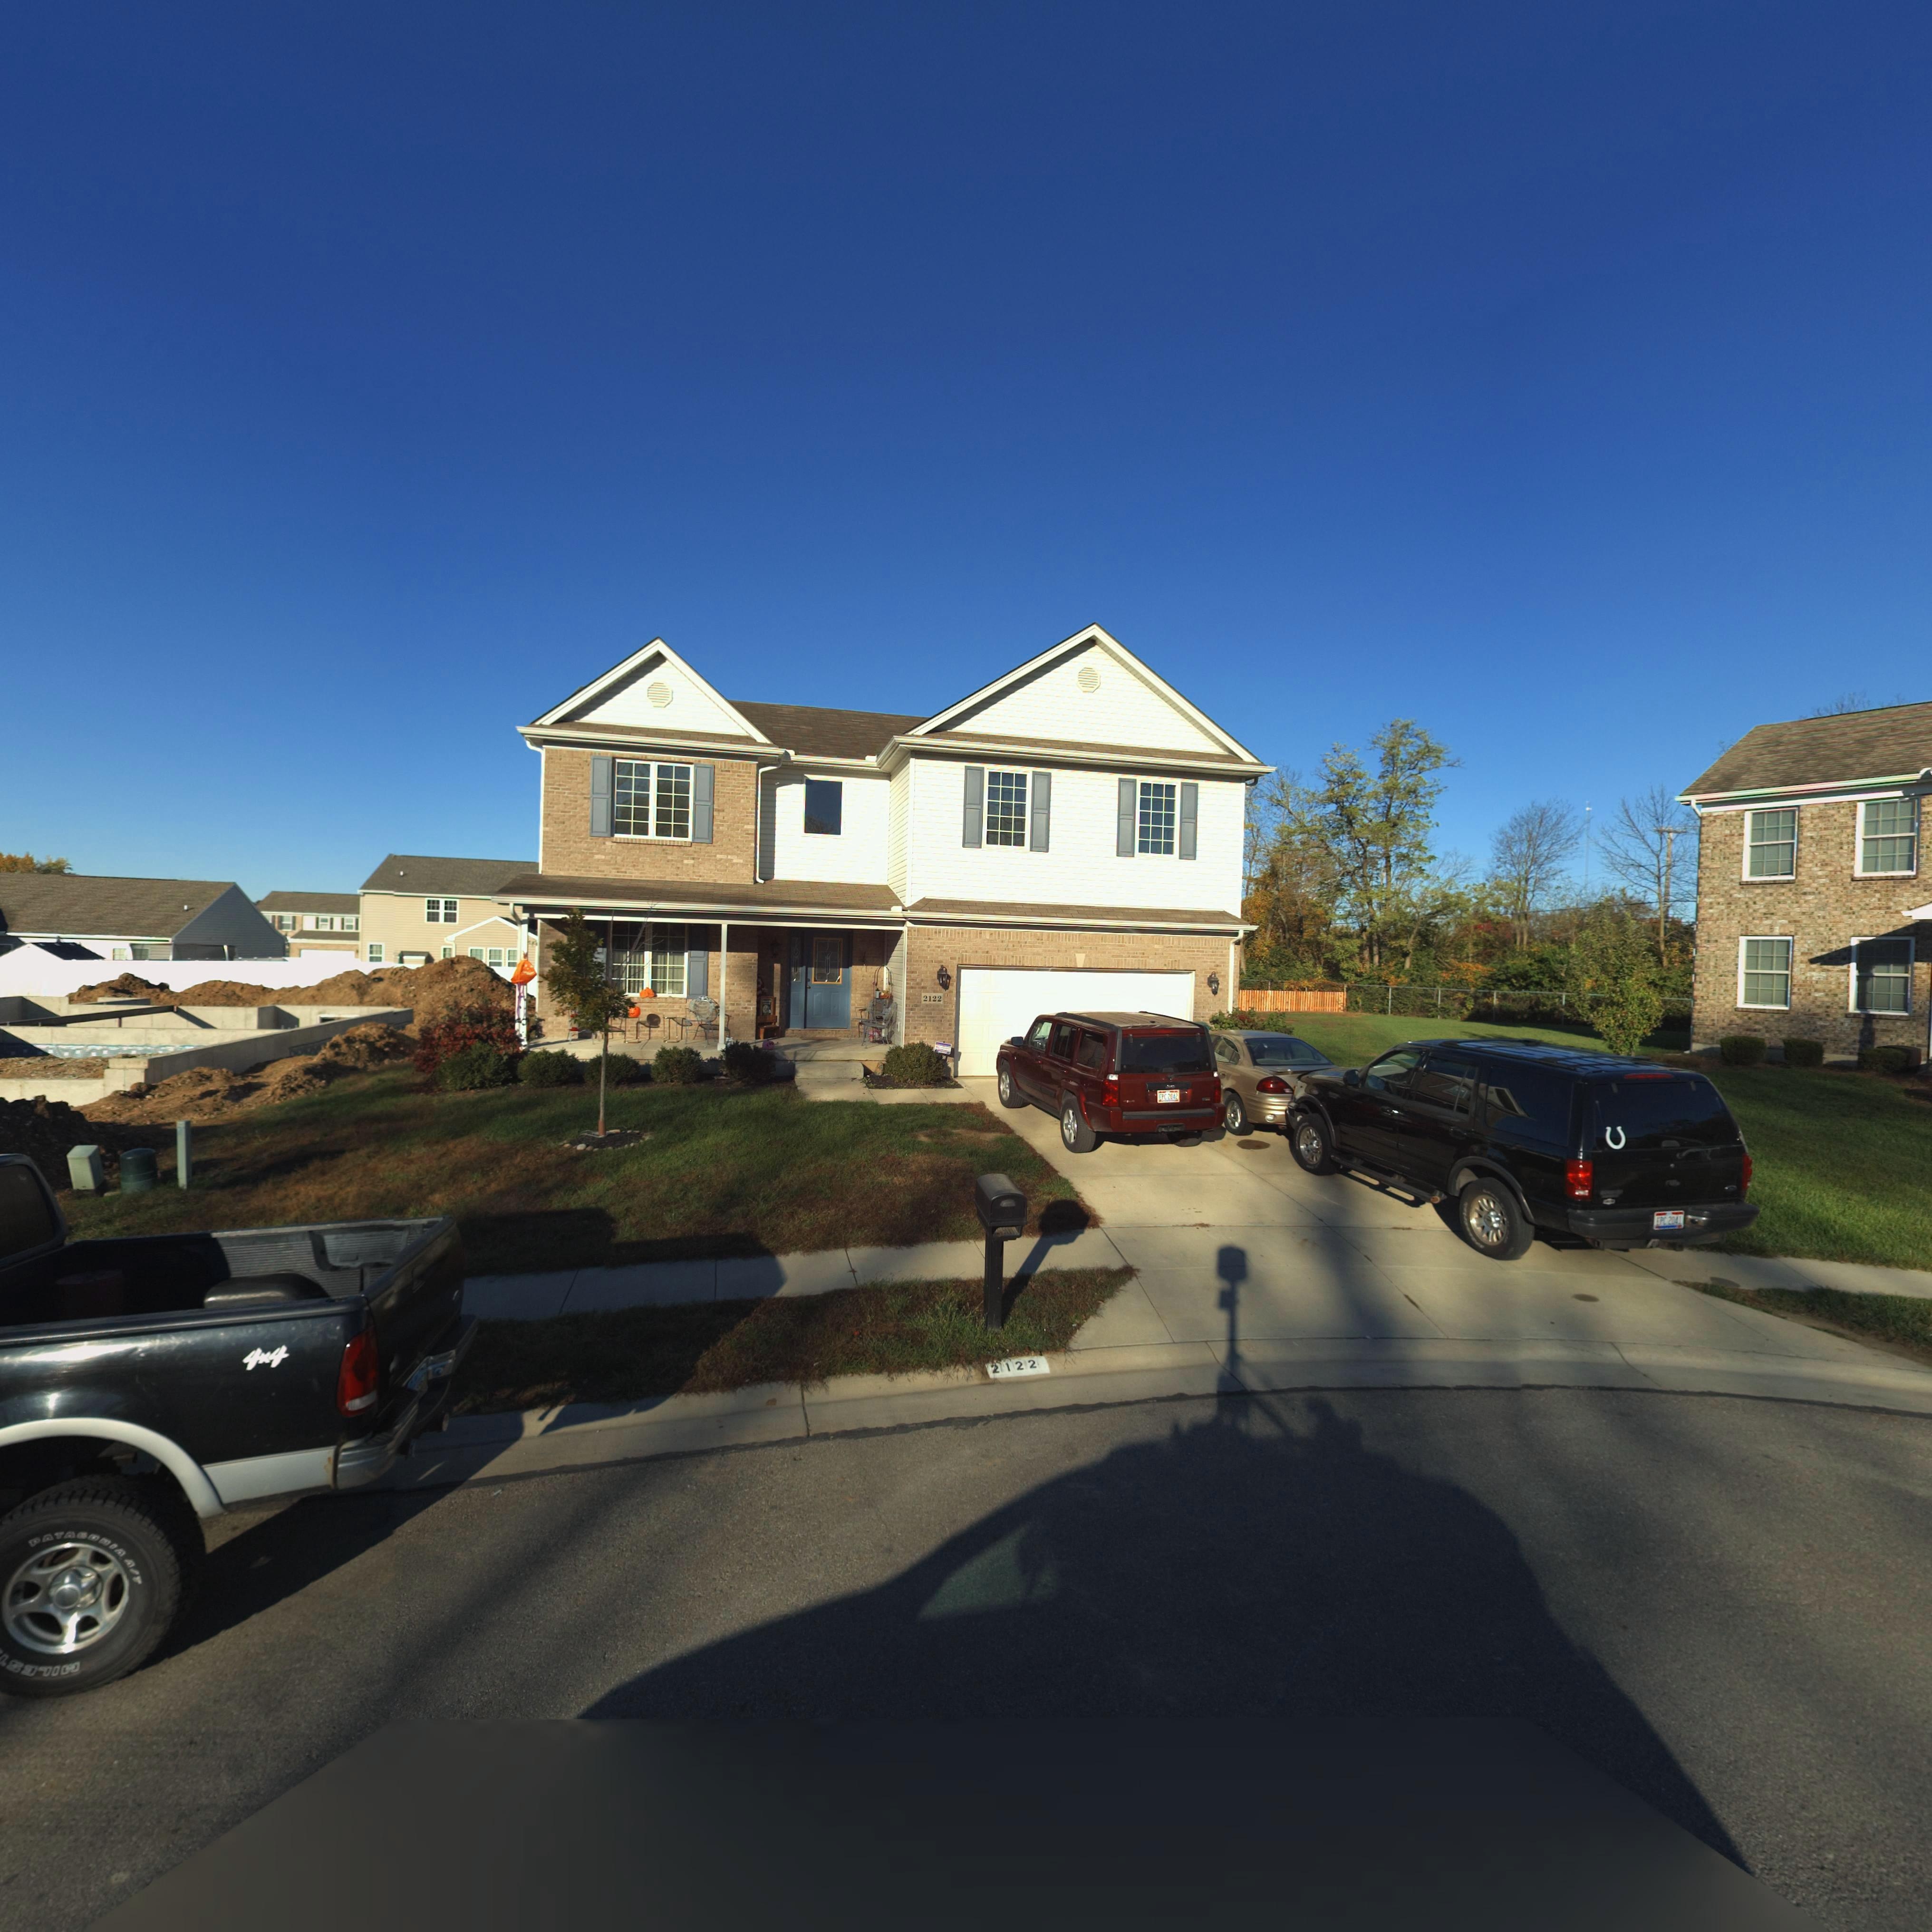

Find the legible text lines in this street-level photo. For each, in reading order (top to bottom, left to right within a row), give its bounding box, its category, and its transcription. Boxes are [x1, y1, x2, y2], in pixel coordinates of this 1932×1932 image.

[922, 994, 943, 1003] StreetNumber: 2122
[989, 1358, 1039, 1375] StreetNumber: 2122